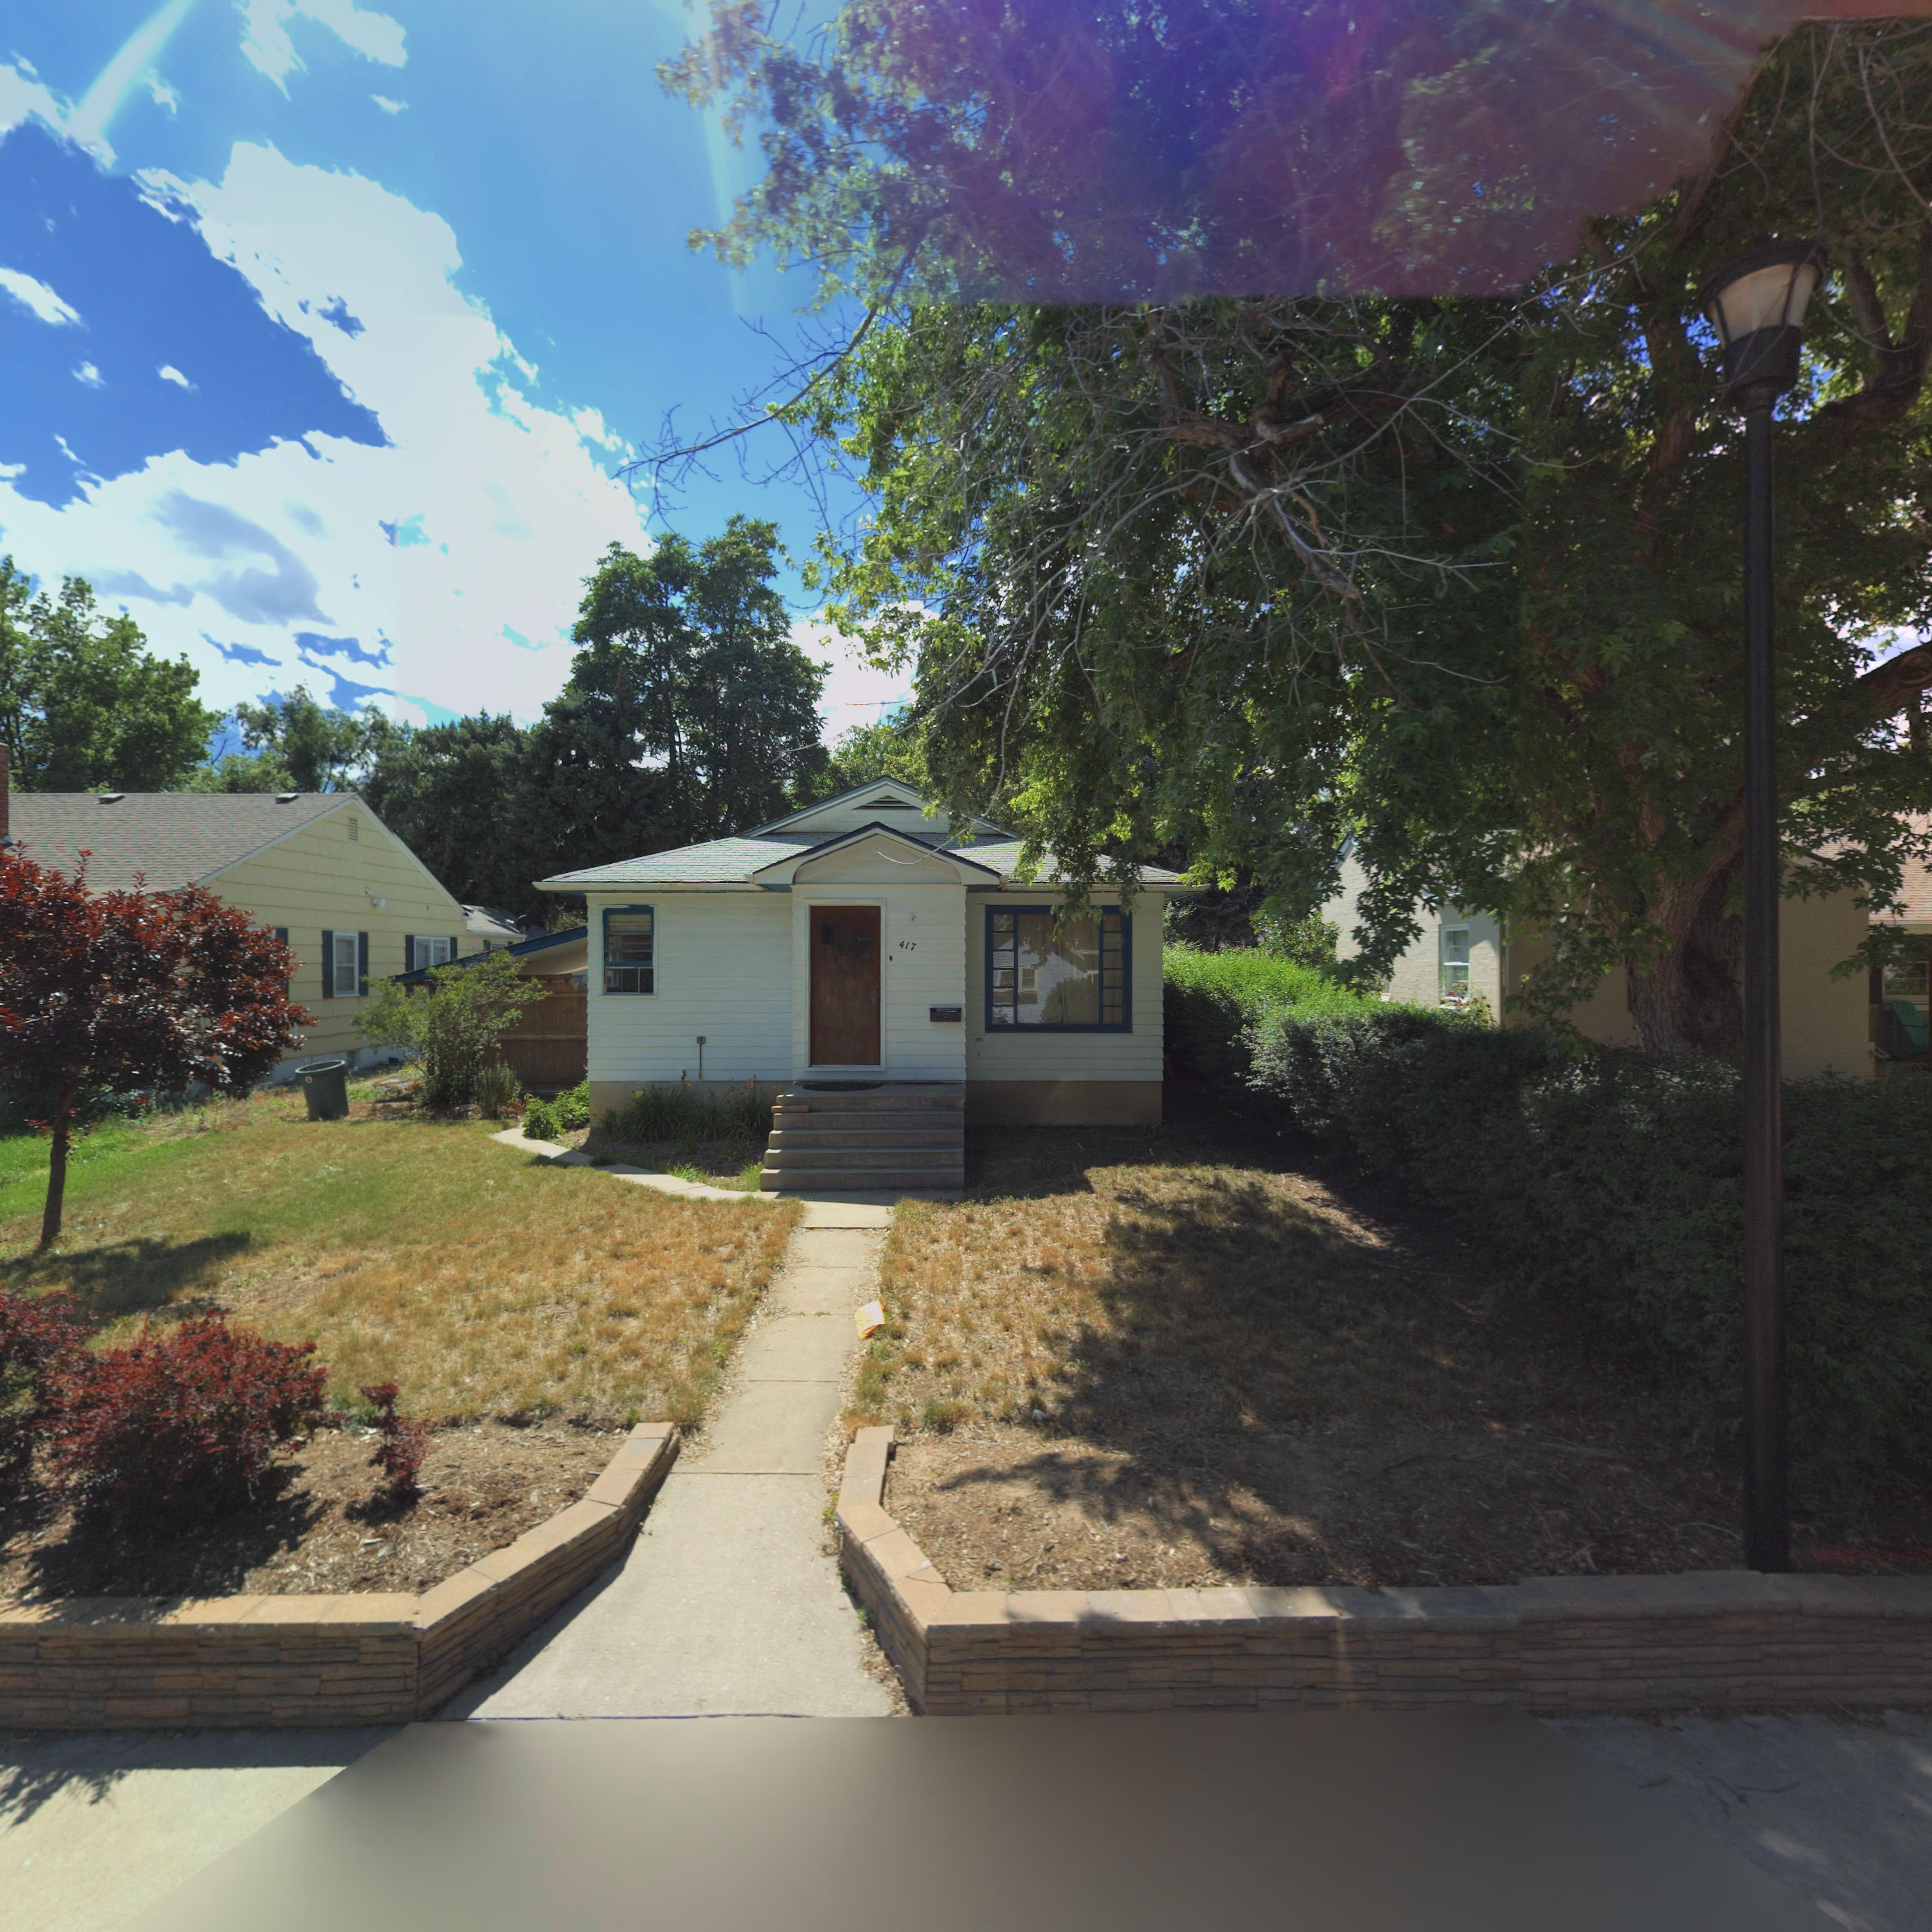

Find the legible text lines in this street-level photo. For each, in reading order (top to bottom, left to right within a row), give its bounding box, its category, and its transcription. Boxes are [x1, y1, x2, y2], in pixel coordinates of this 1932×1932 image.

[898, 940, 917, 950] StreetNumber: 417